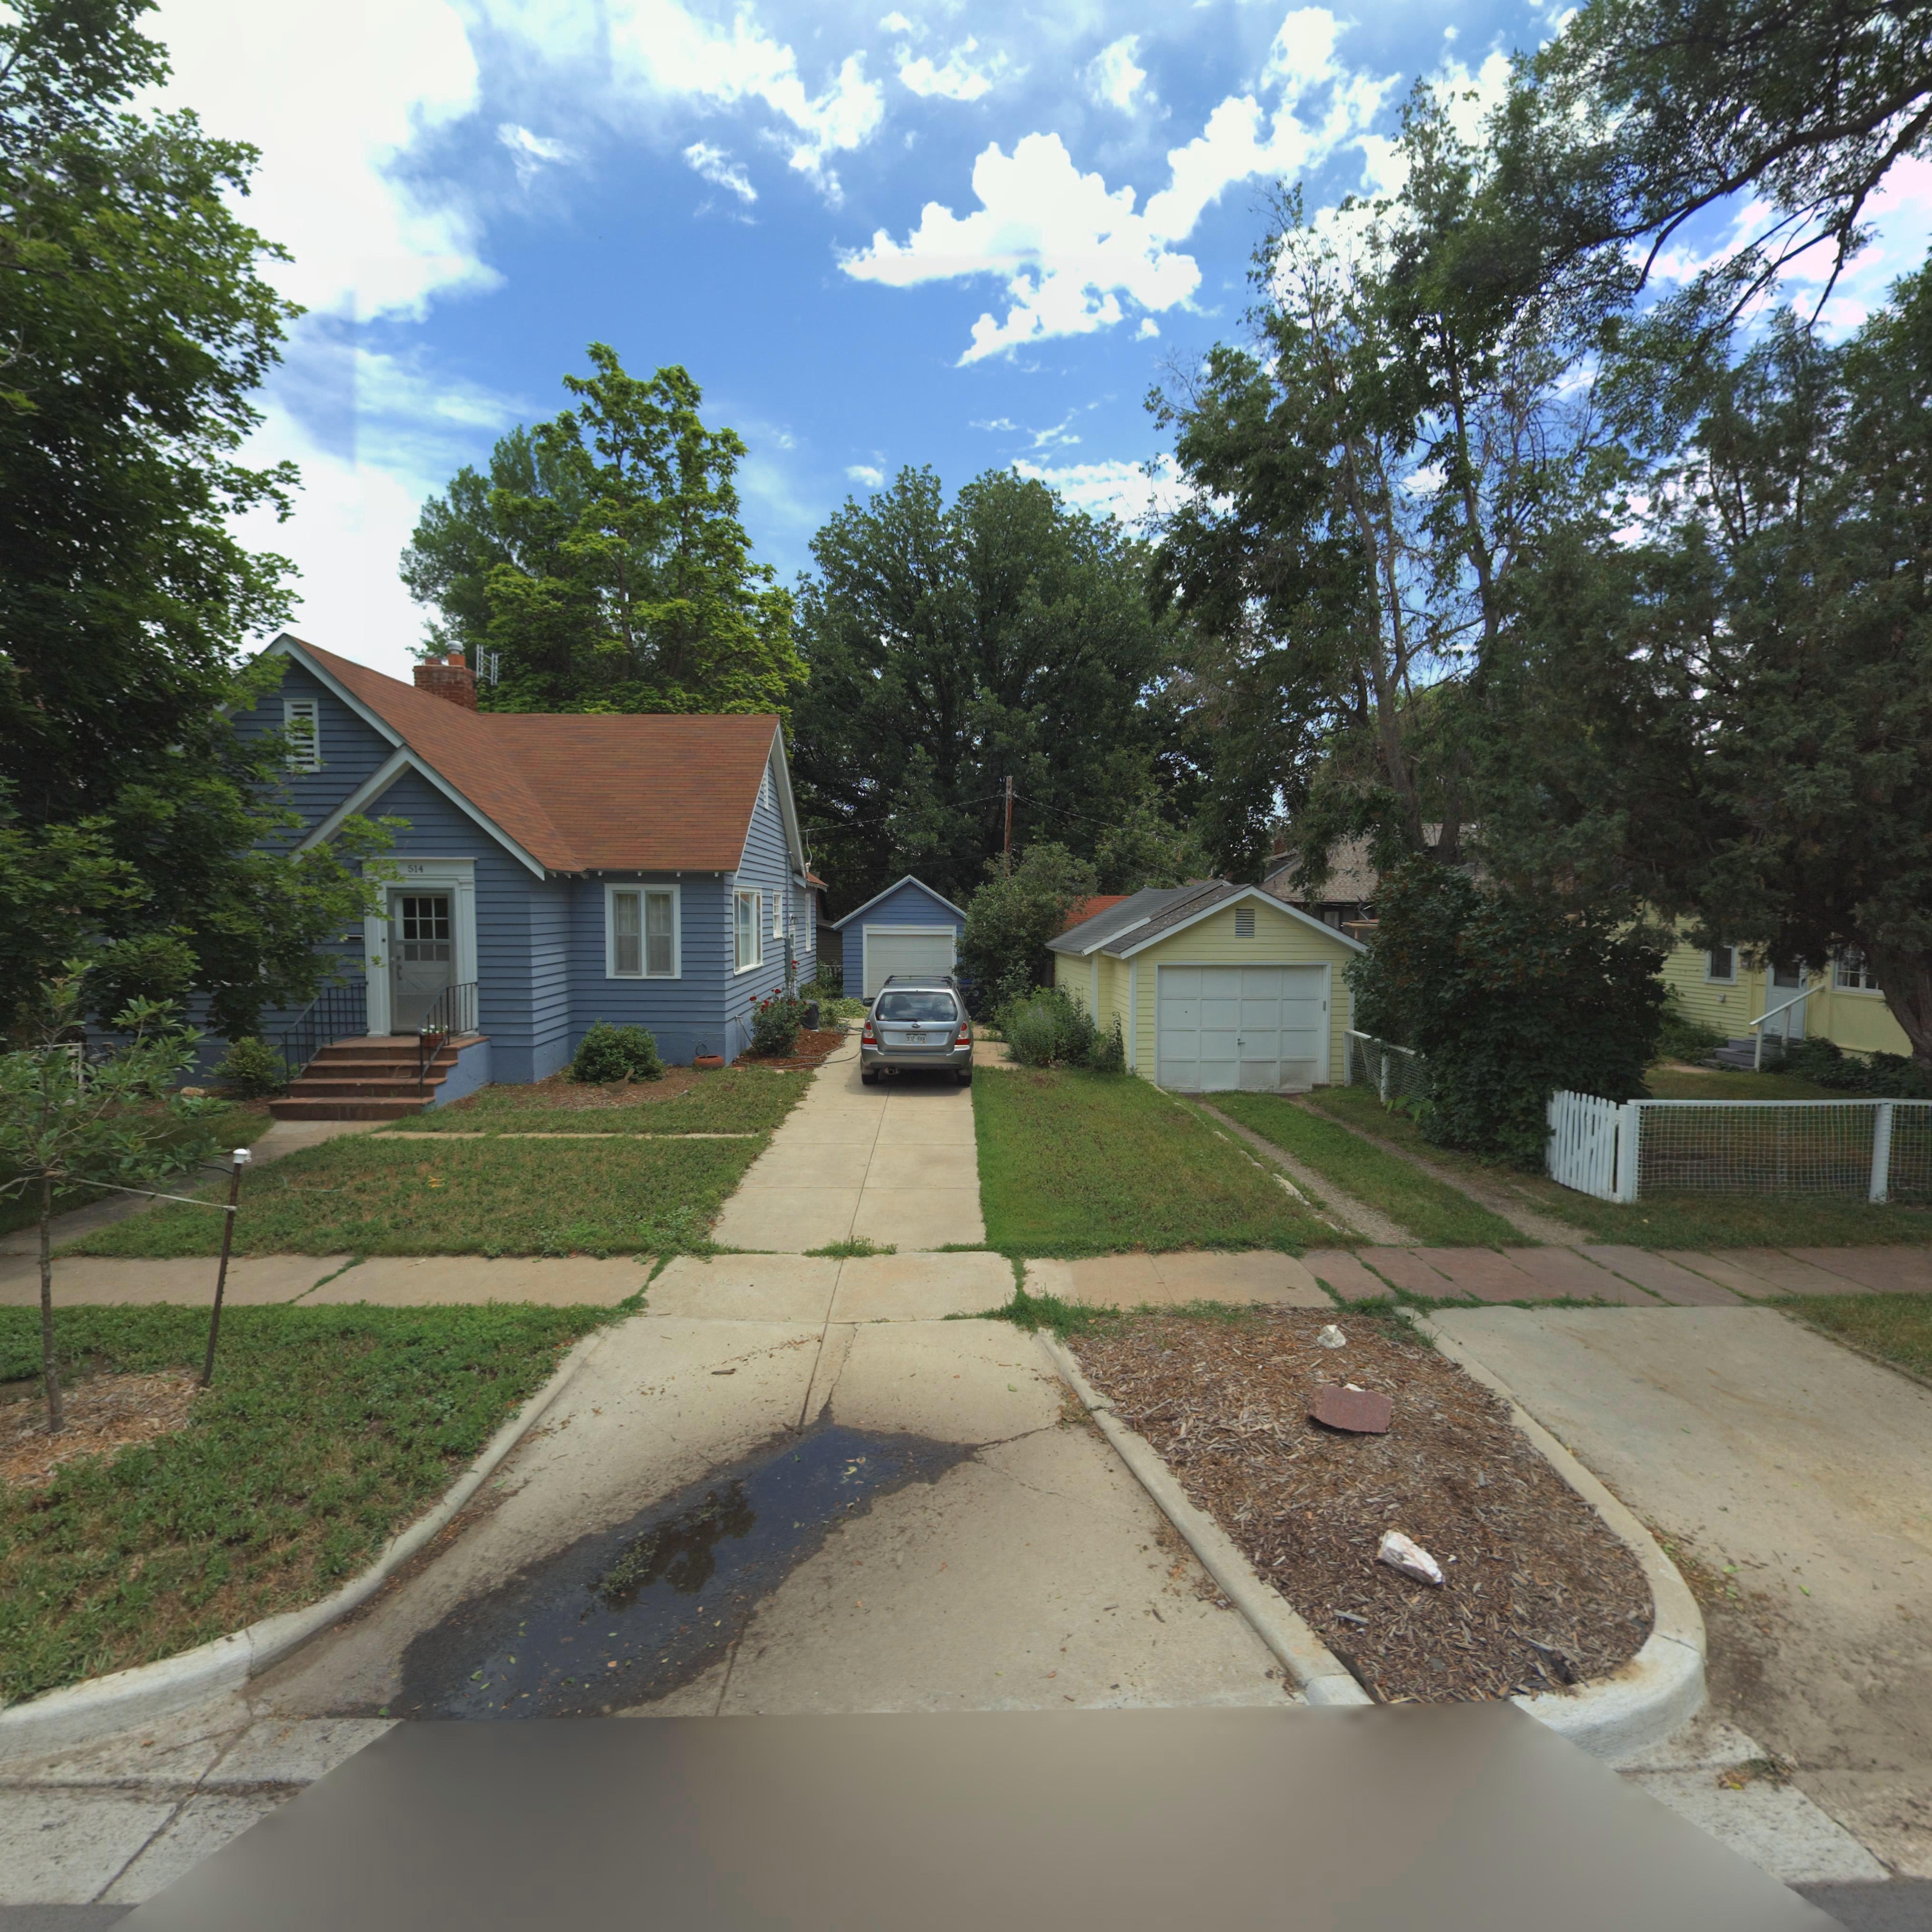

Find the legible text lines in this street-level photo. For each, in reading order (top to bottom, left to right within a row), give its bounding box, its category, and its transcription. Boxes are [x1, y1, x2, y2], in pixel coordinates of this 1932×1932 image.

[407, 864, 424, 873] StreetNumber: 514